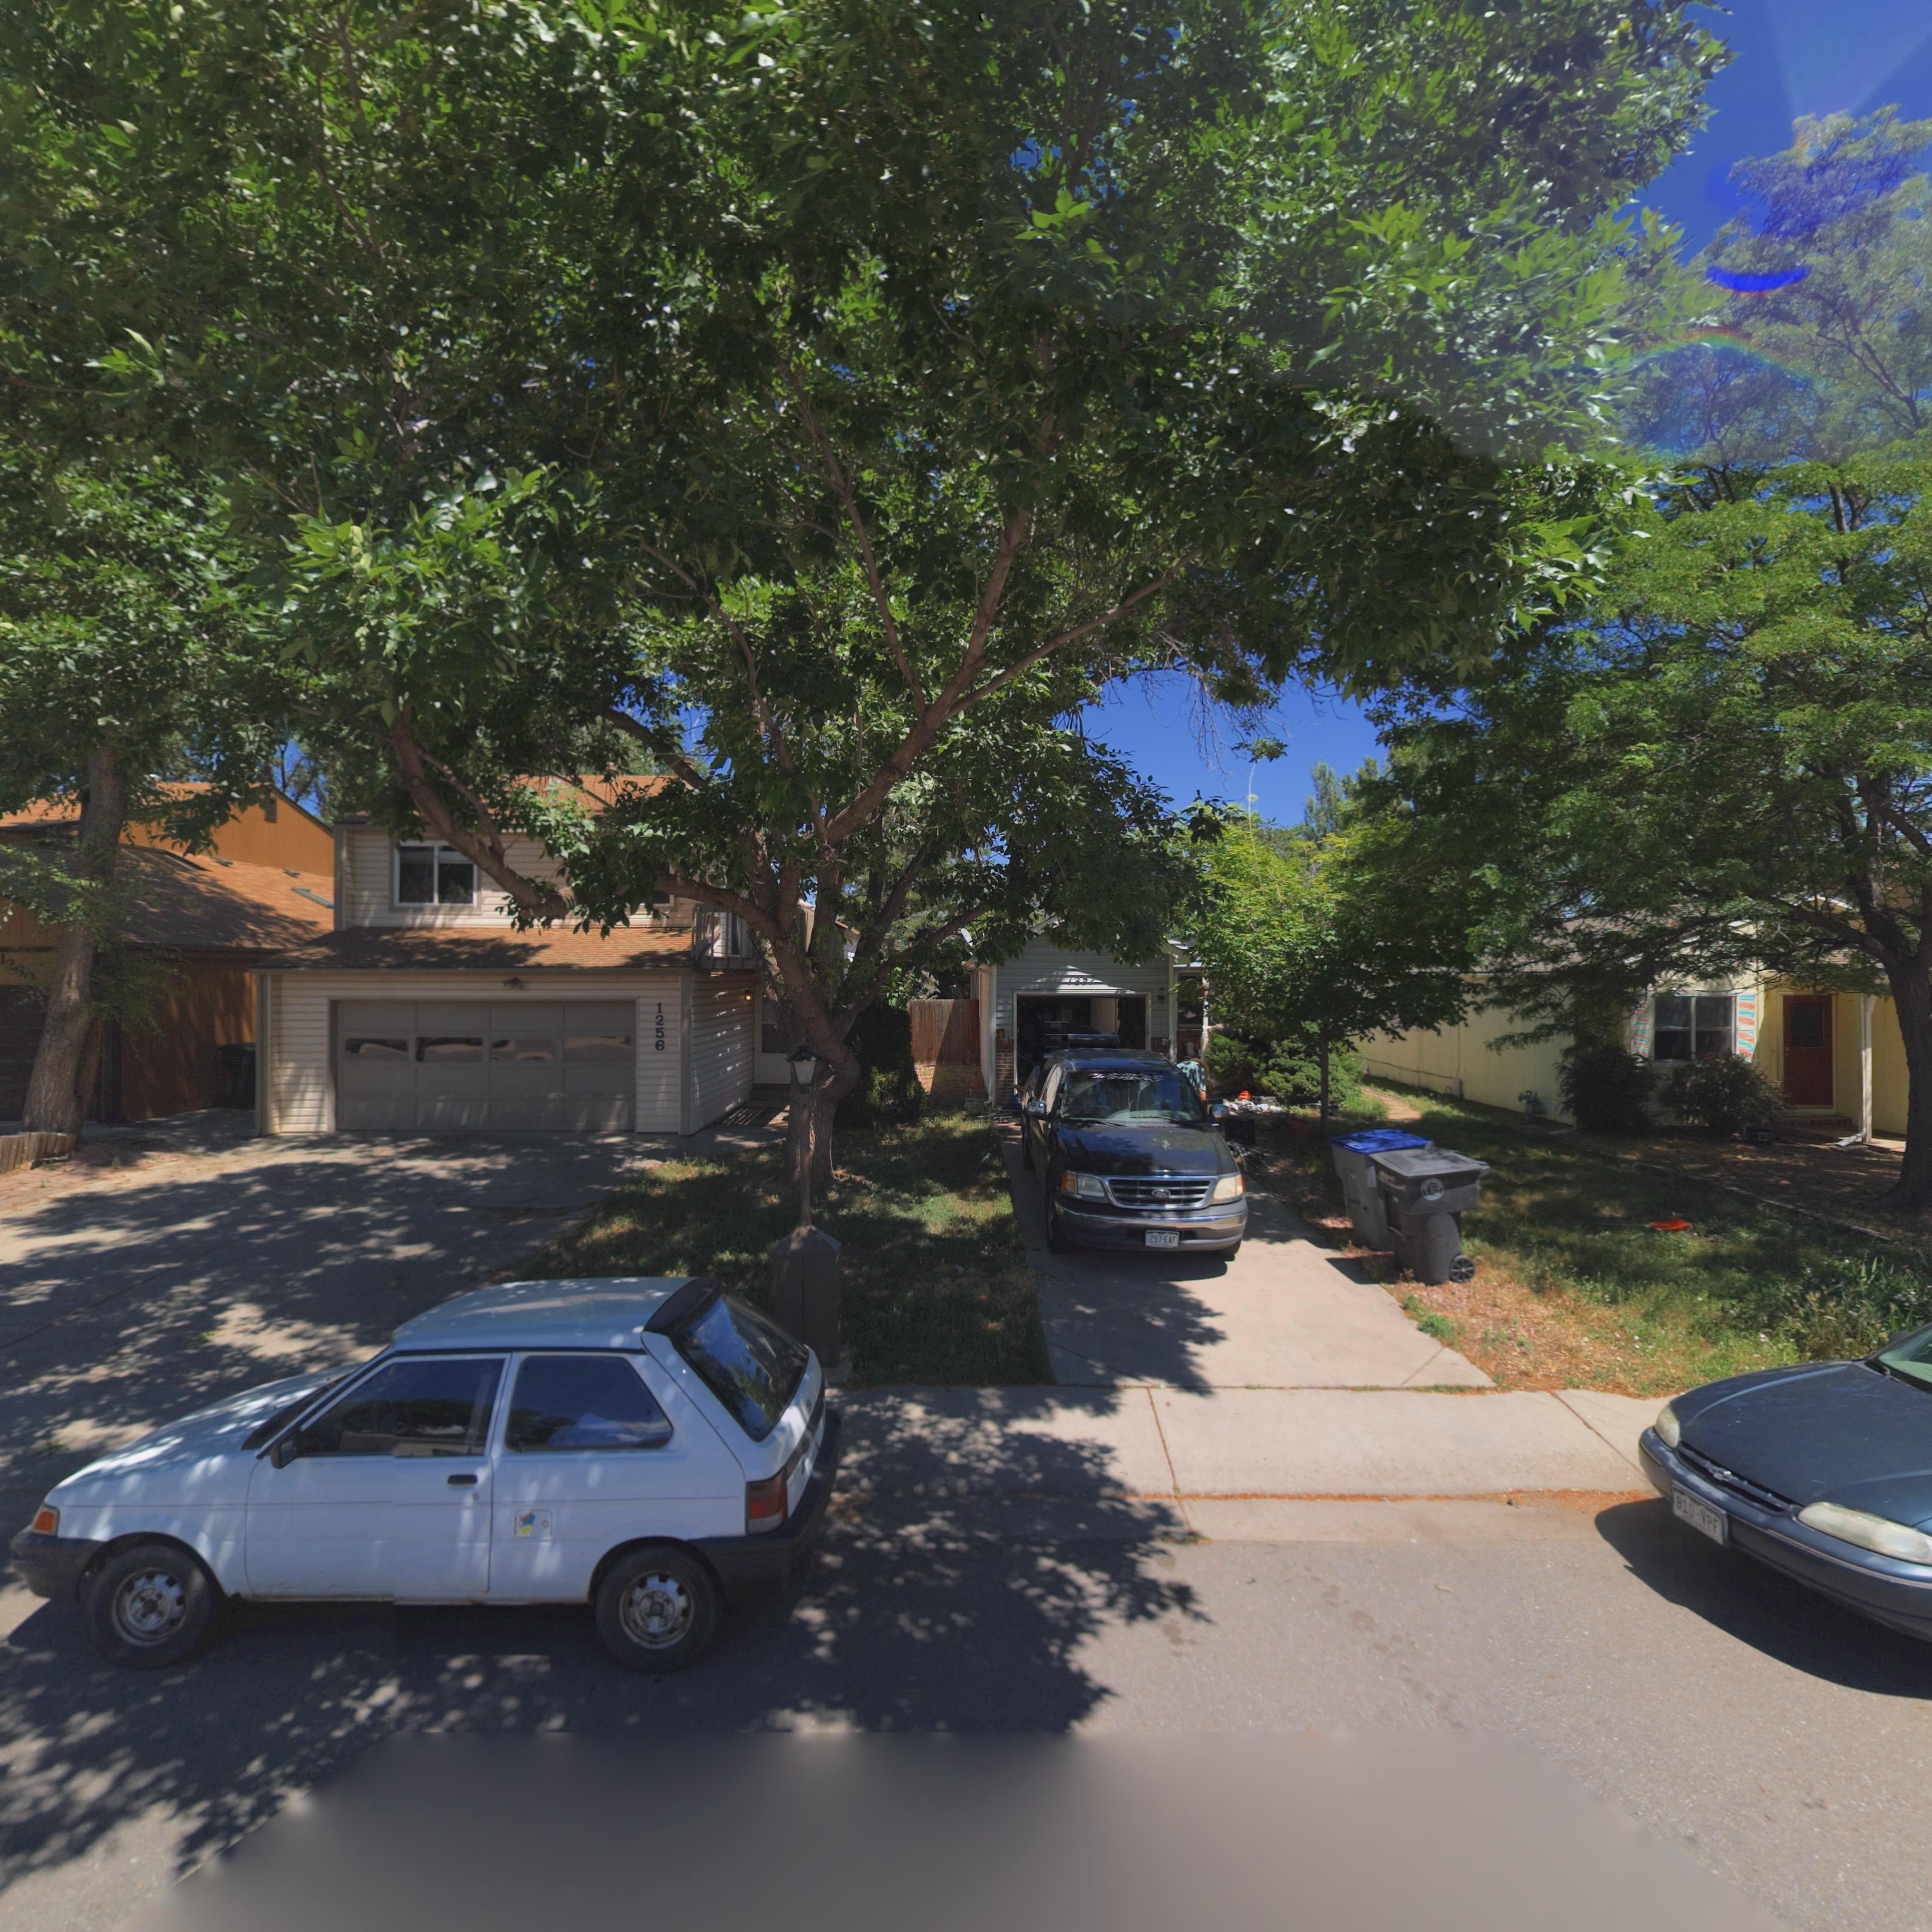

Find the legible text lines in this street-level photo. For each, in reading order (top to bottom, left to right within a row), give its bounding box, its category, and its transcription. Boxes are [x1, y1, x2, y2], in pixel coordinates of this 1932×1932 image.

[1067, 974, 1096, 985] StreetNumber: 125*
[654, 1000, 665, 1052] StreetNumber: 1256